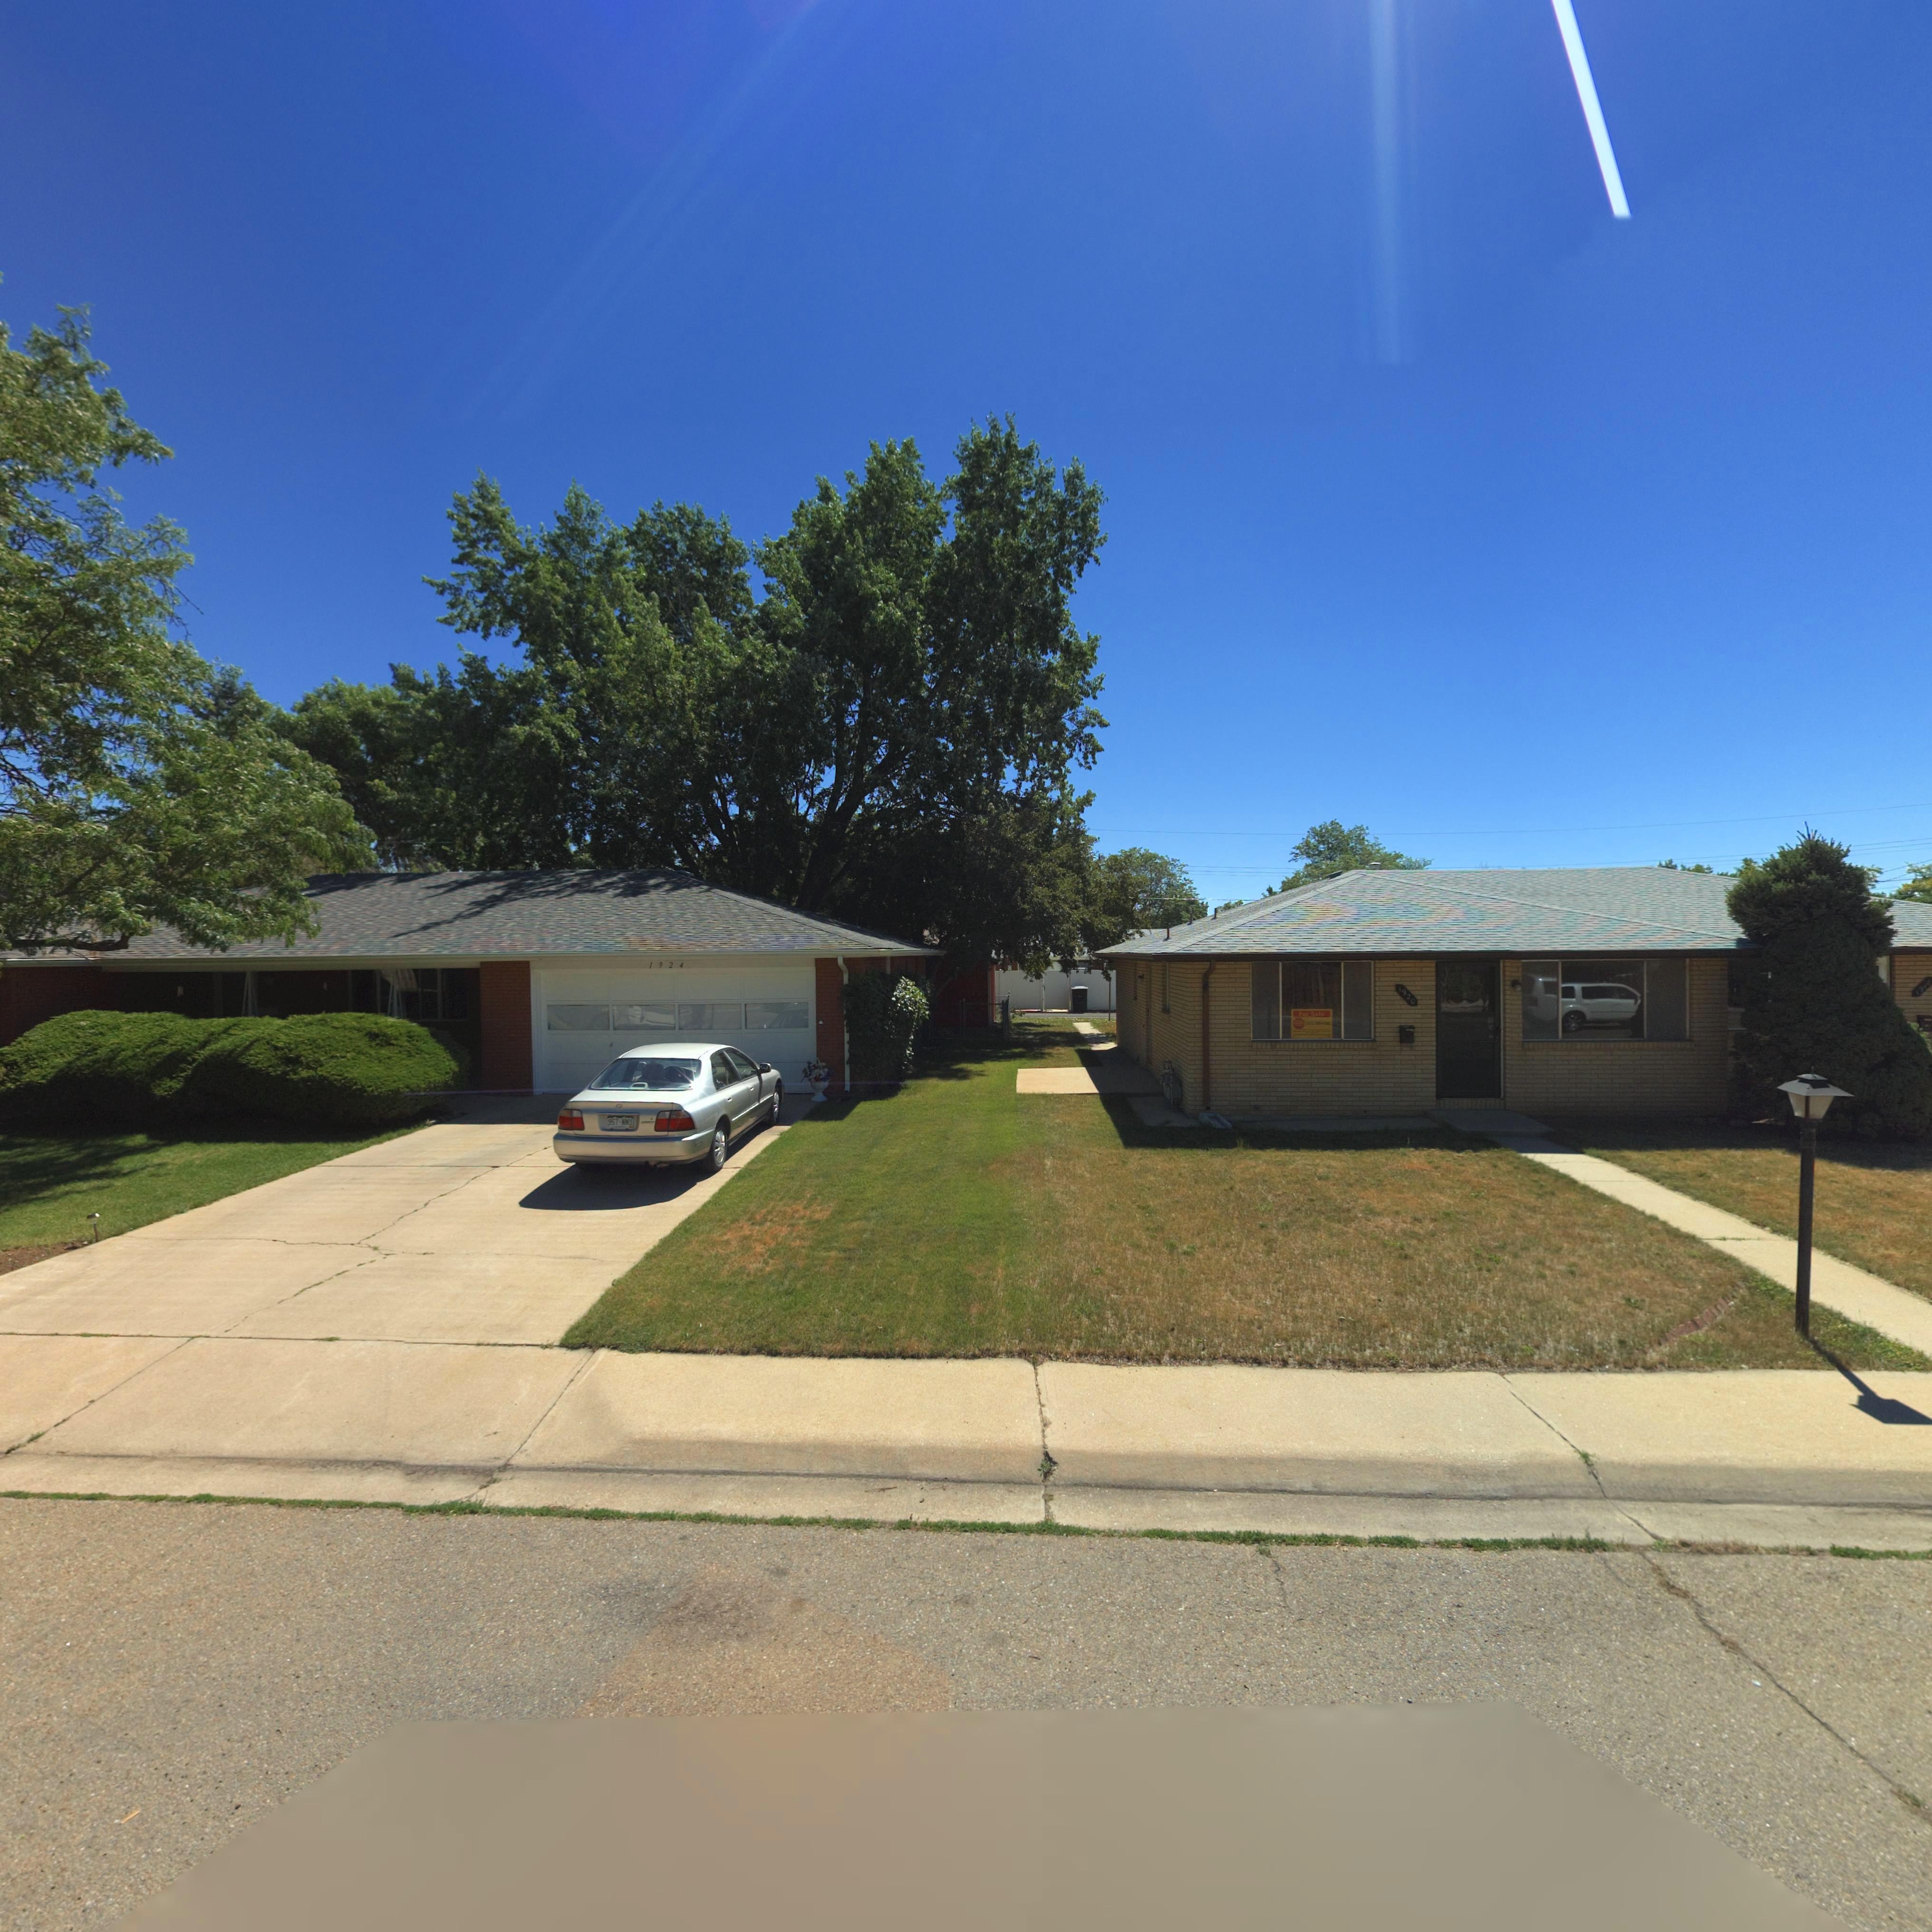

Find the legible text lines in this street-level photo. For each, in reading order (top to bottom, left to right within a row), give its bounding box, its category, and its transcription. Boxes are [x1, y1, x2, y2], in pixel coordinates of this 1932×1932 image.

[648, 961, 684, 968] StreetNumber: 1924